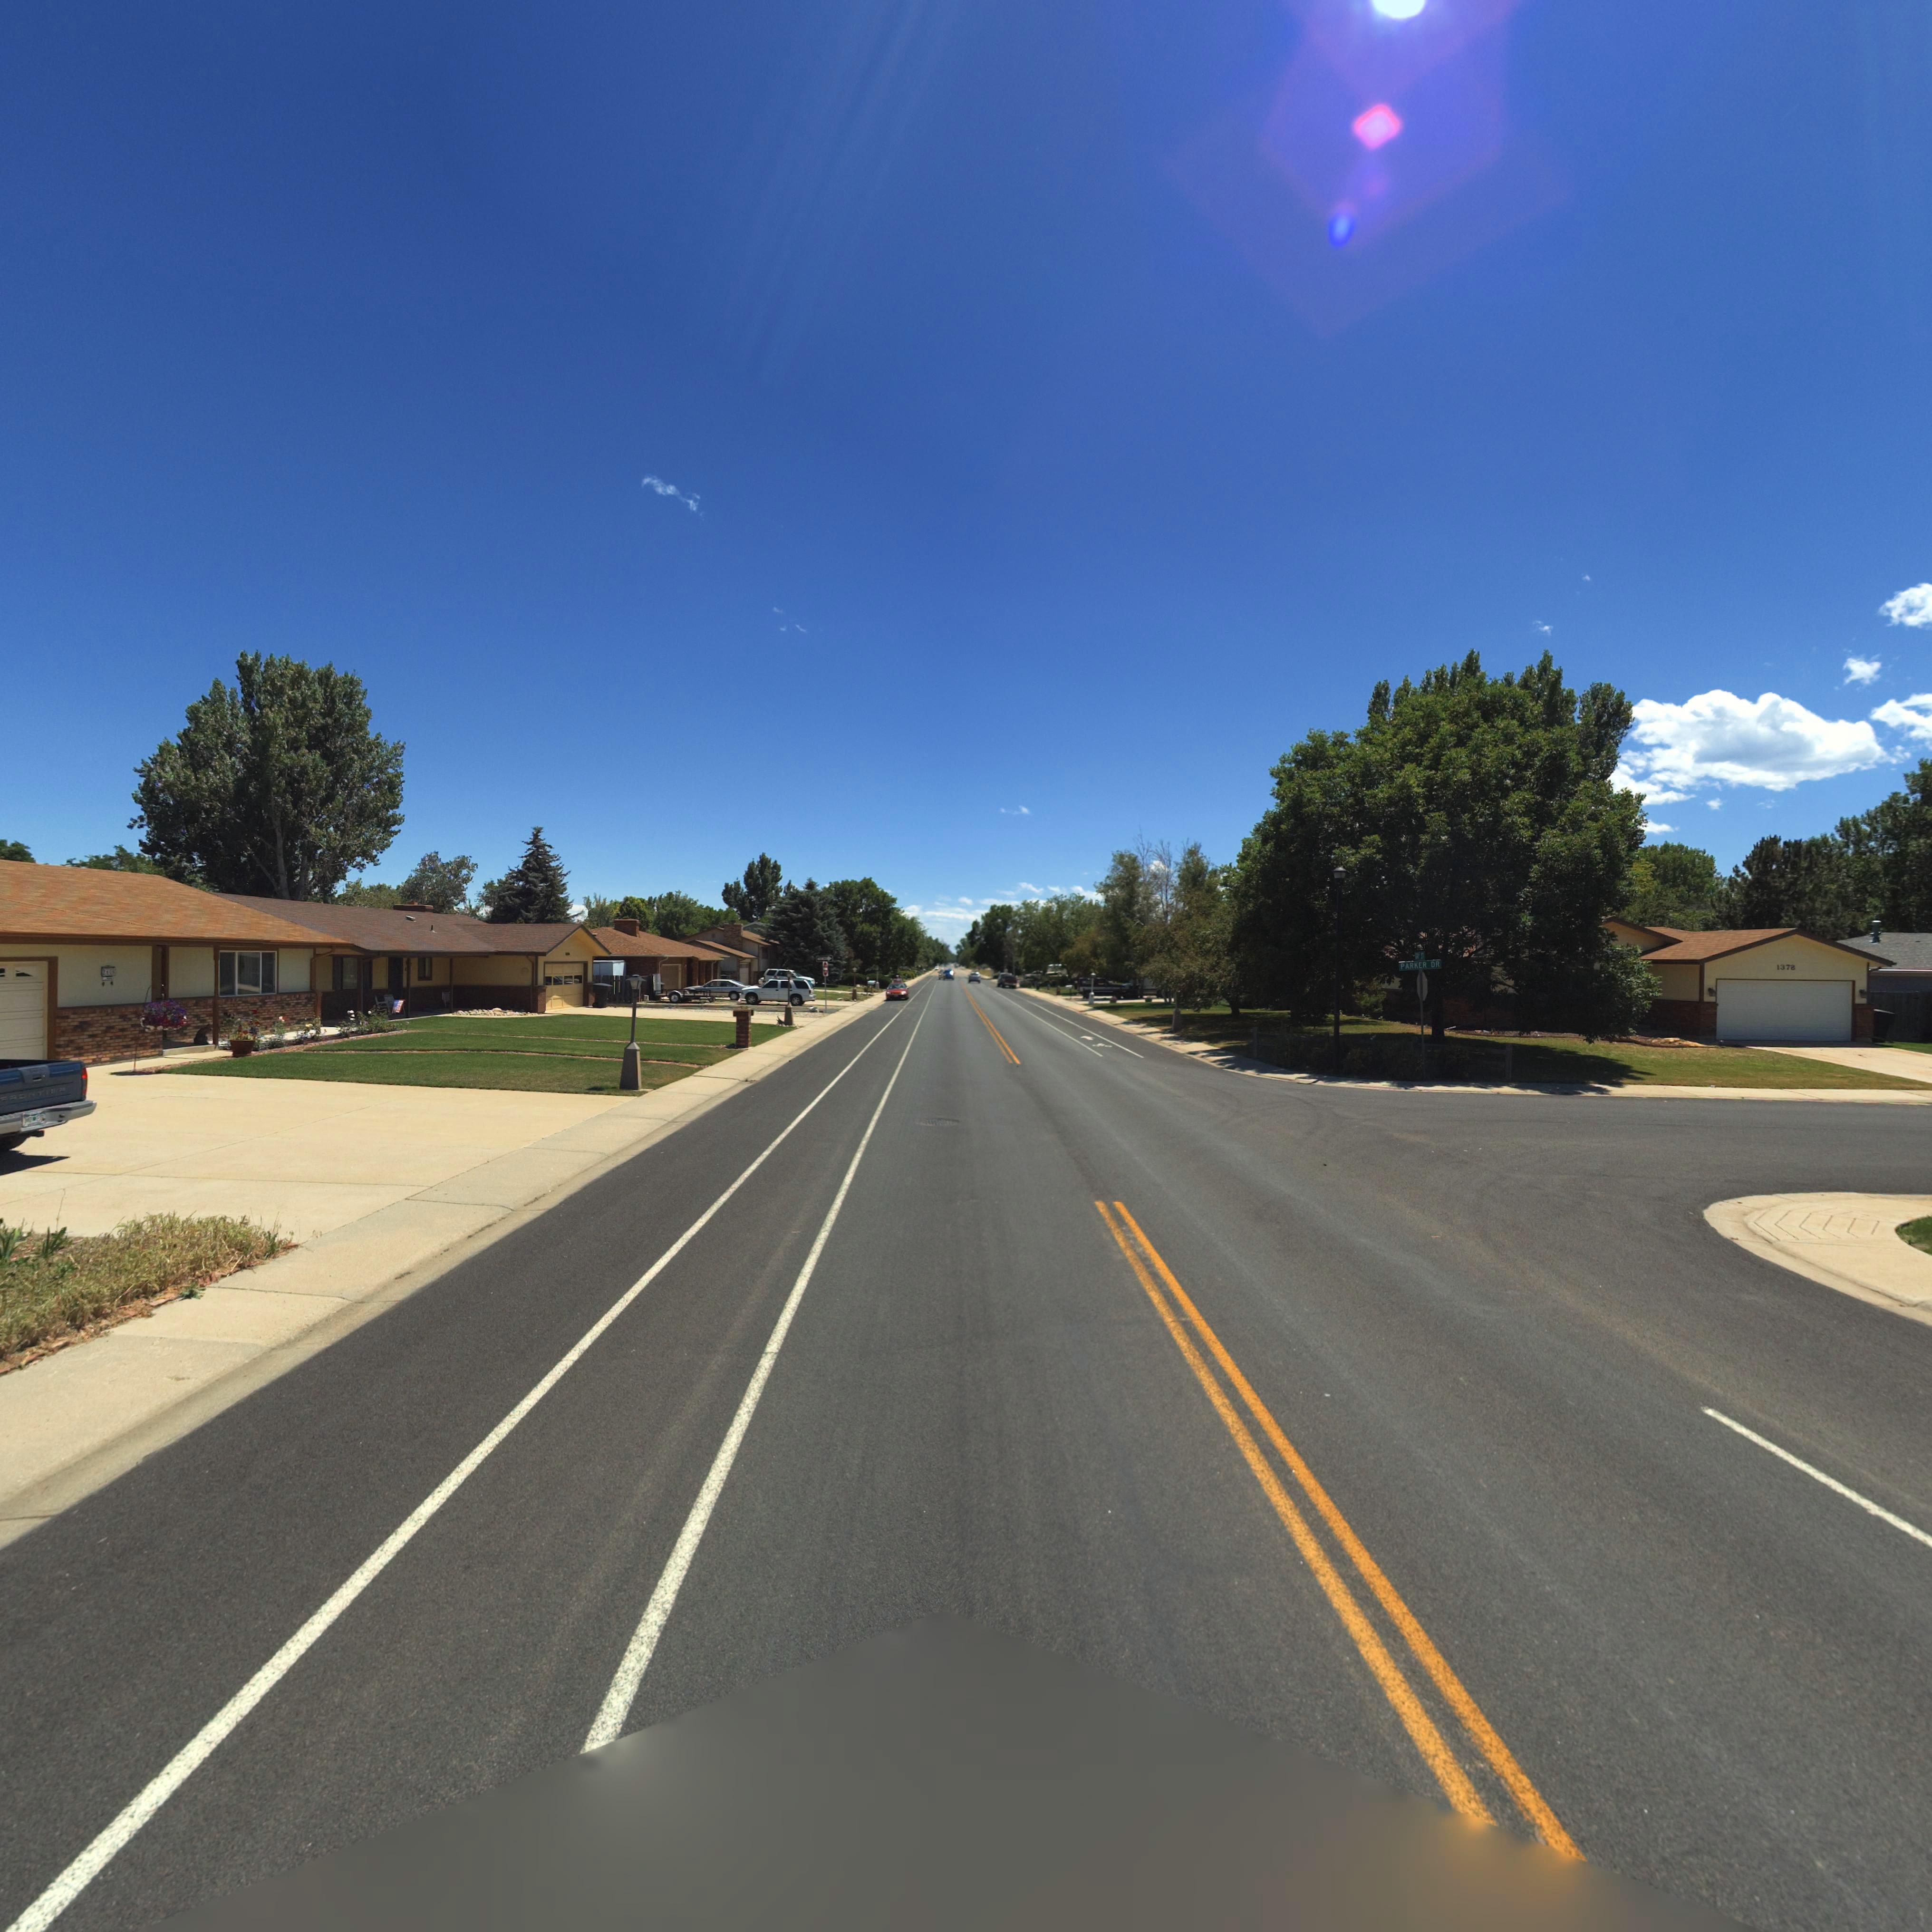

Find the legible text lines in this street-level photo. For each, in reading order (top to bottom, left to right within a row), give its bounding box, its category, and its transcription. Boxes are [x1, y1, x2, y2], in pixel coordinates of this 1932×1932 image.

[1414, 952, 1423, 959] StreetName: GAY ST
[1401, 961, 1439, 969] StreetName: PARKER DR
[1777, 964, 1796, 970] StreetNumber: 1378
[102, 969, 115, 976] StreetNumber: 2***